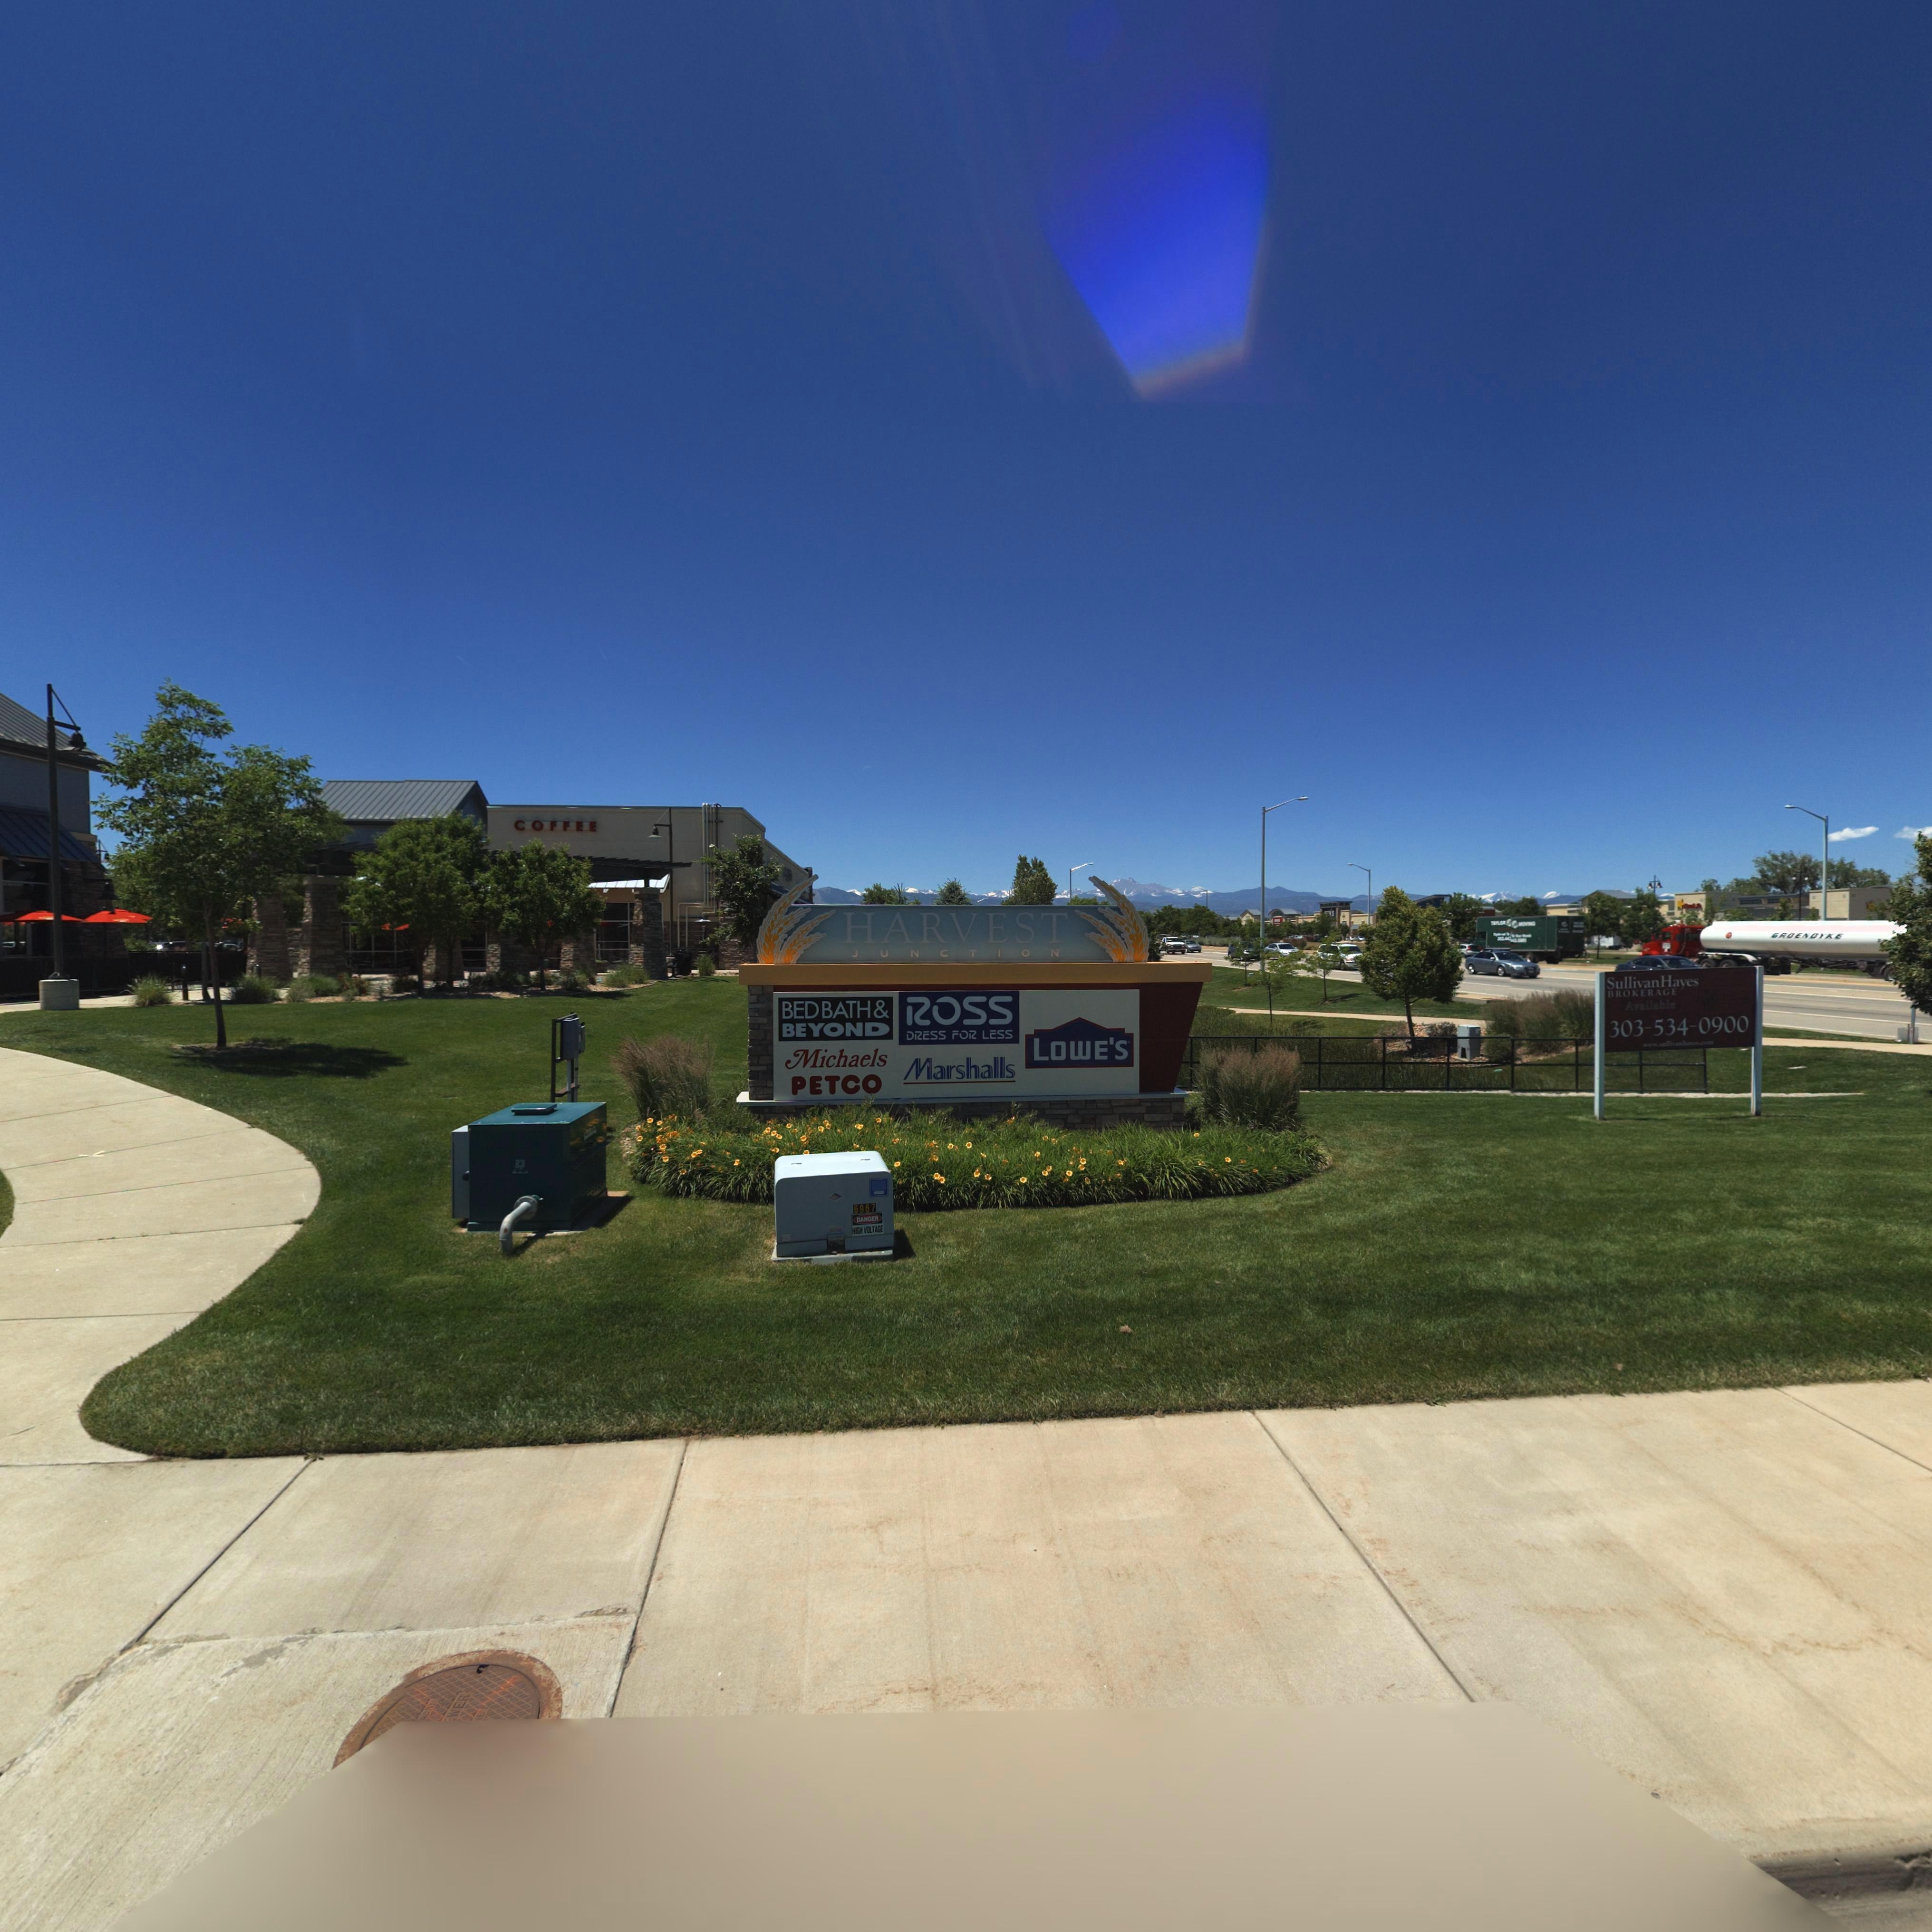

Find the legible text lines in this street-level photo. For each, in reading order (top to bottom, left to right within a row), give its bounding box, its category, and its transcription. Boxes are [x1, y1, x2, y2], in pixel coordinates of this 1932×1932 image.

[513, 819, 597, 832] BusinessName: COFFEE
[1684, 902, 1702, 909] BusinessName: Carls Jr
[781, 999, 891, 1020] BusinessName: BEDBATH&
[905, 995, 1014, 1026] BusinessName: ROSS
[781, 1021, 890, 1038] BusinessName: BEYOND
[906, 1029, 1014, 1040] BusinessName: DRESS FOR LESS
[783, 1047, 889, 1071] BusinessName: Michaels
[901, 1055, 1018, 1081] BusinessName: Marshalls
[1032, 1035, 1129, 1062] BusinessName: LOWE'S
[791, 1073, 883, 1095] BusinessName: PETCO